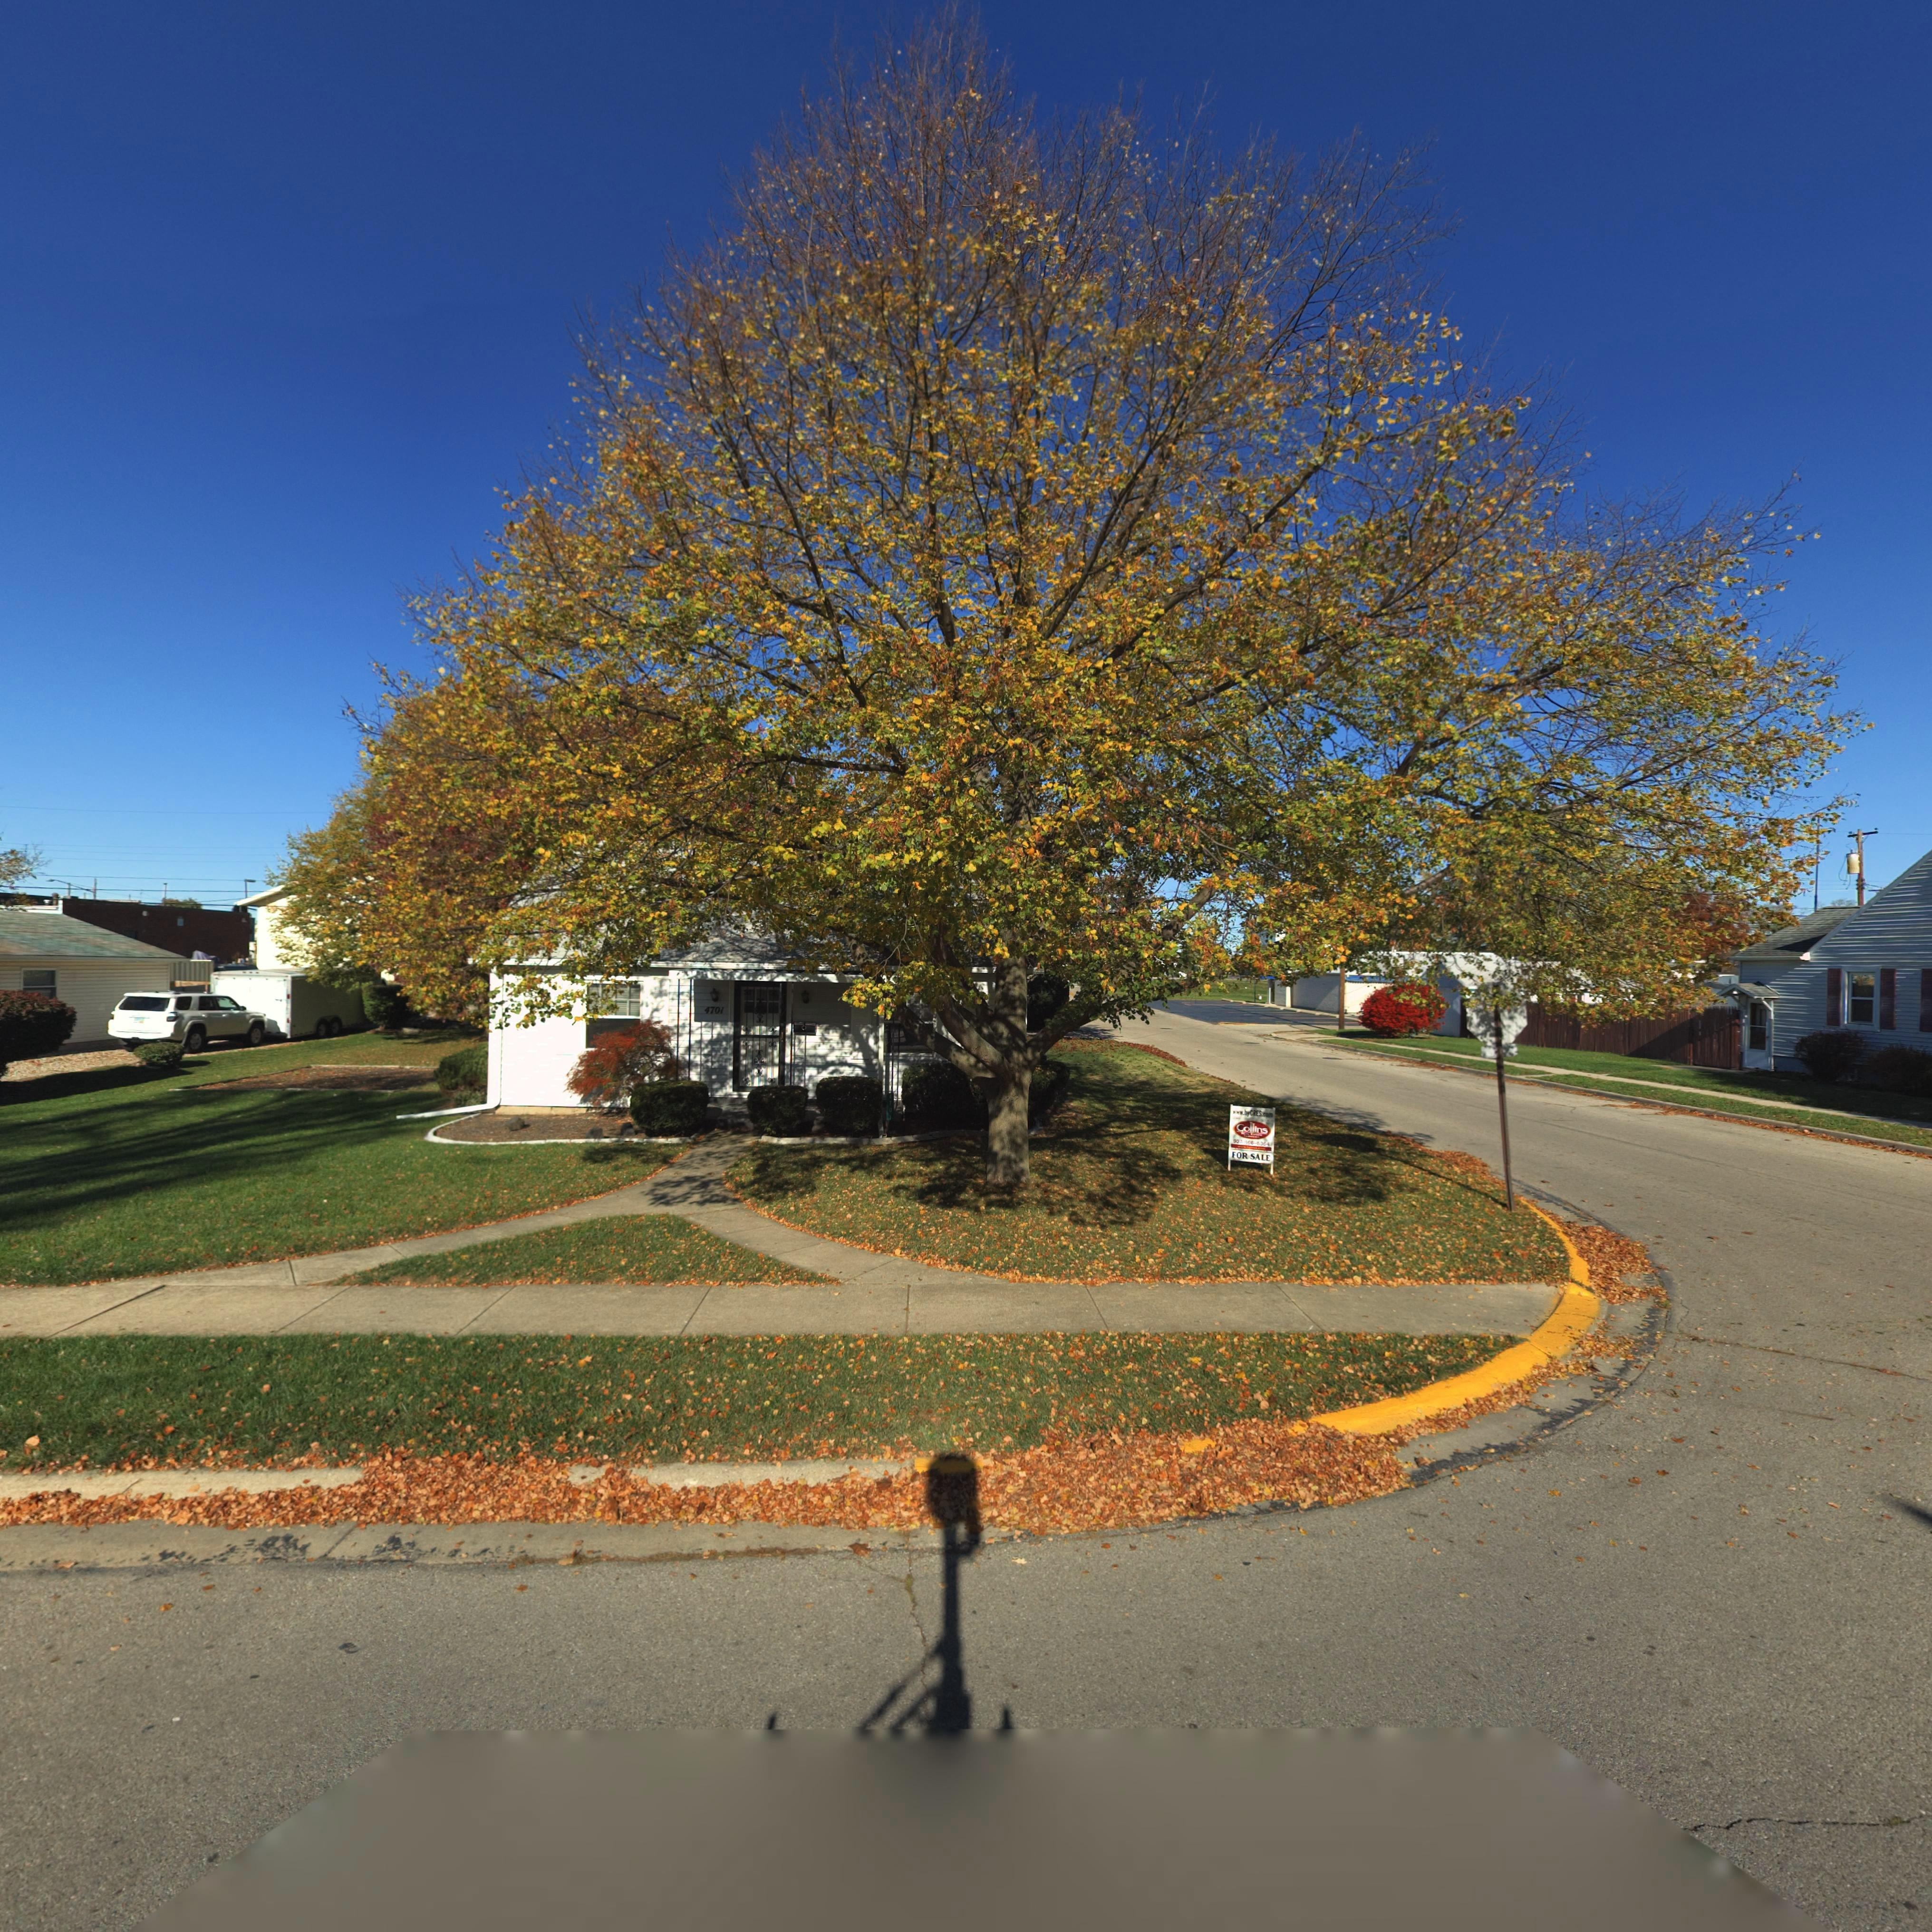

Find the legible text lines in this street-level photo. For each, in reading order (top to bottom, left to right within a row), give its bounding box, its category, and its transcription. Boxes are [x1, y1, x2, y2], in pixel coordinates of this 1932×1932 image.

[704, 1005, 725, 1015] StreetNumber: 4701